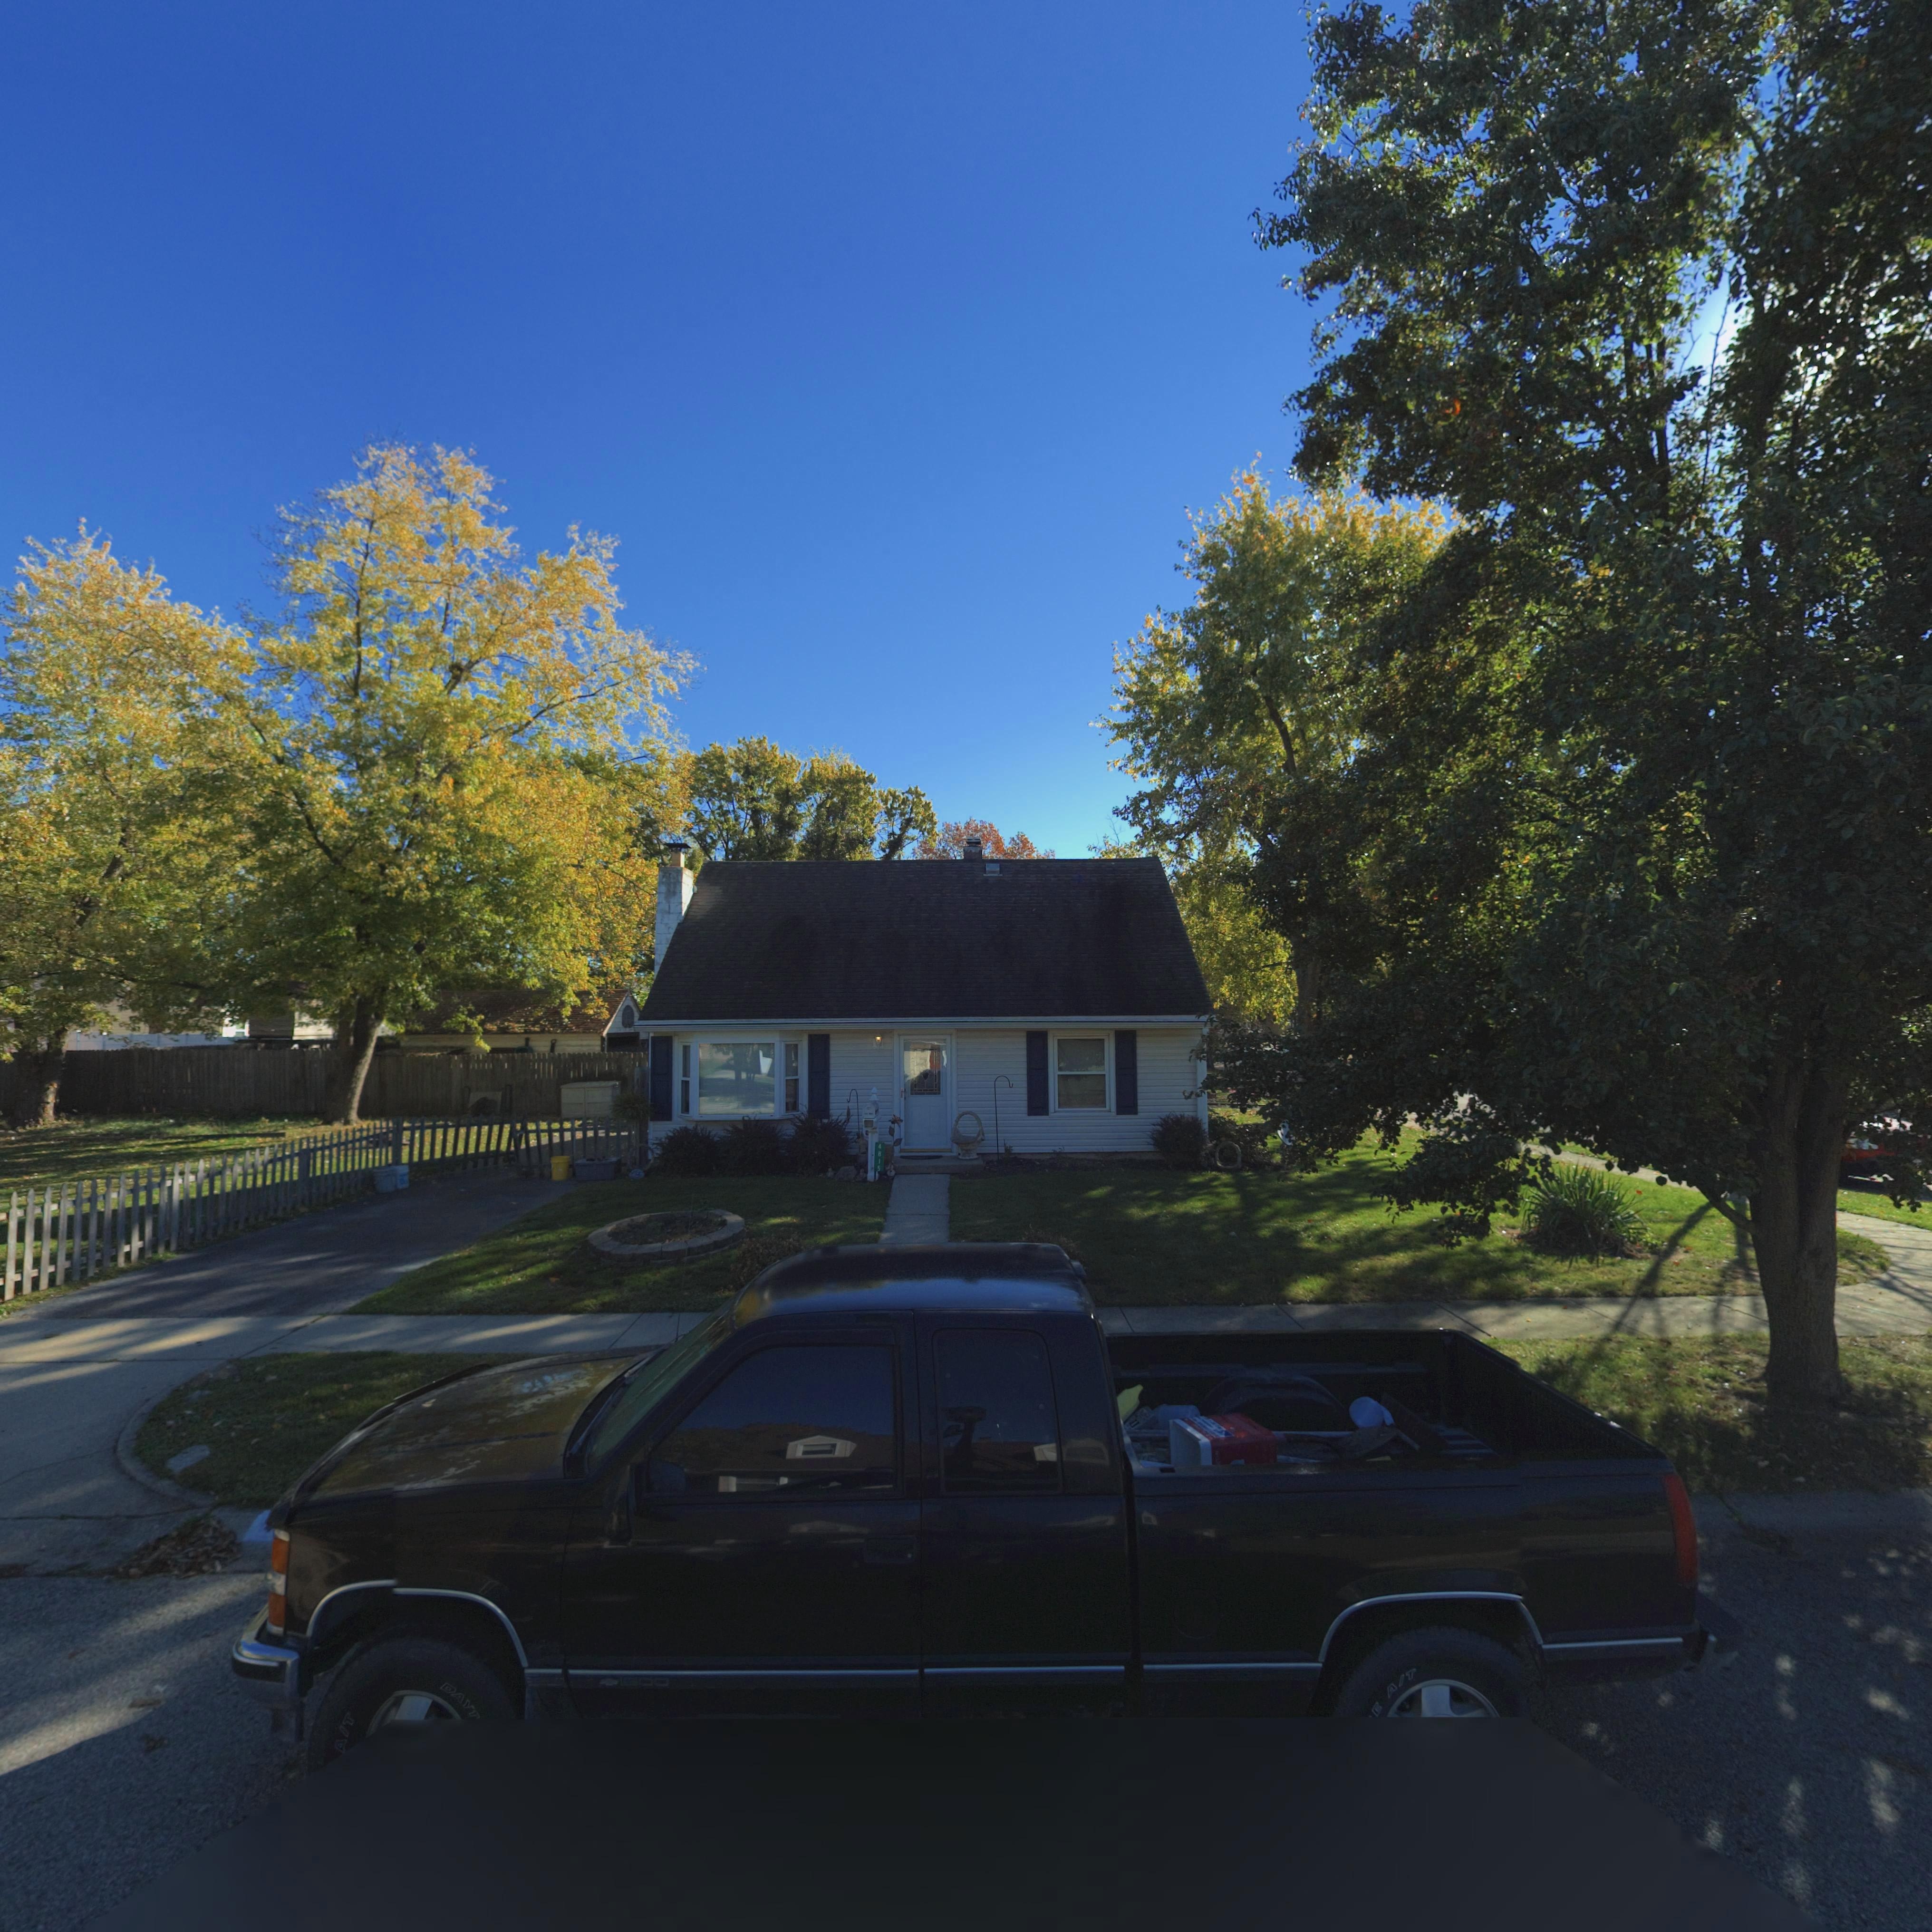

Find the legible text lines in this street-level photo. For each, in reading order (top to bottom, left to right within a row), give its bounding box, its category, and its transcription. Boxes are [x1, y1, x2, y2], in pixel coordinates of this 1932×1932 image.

[877, 1142, 882, 1172] StreetNumber: 4815